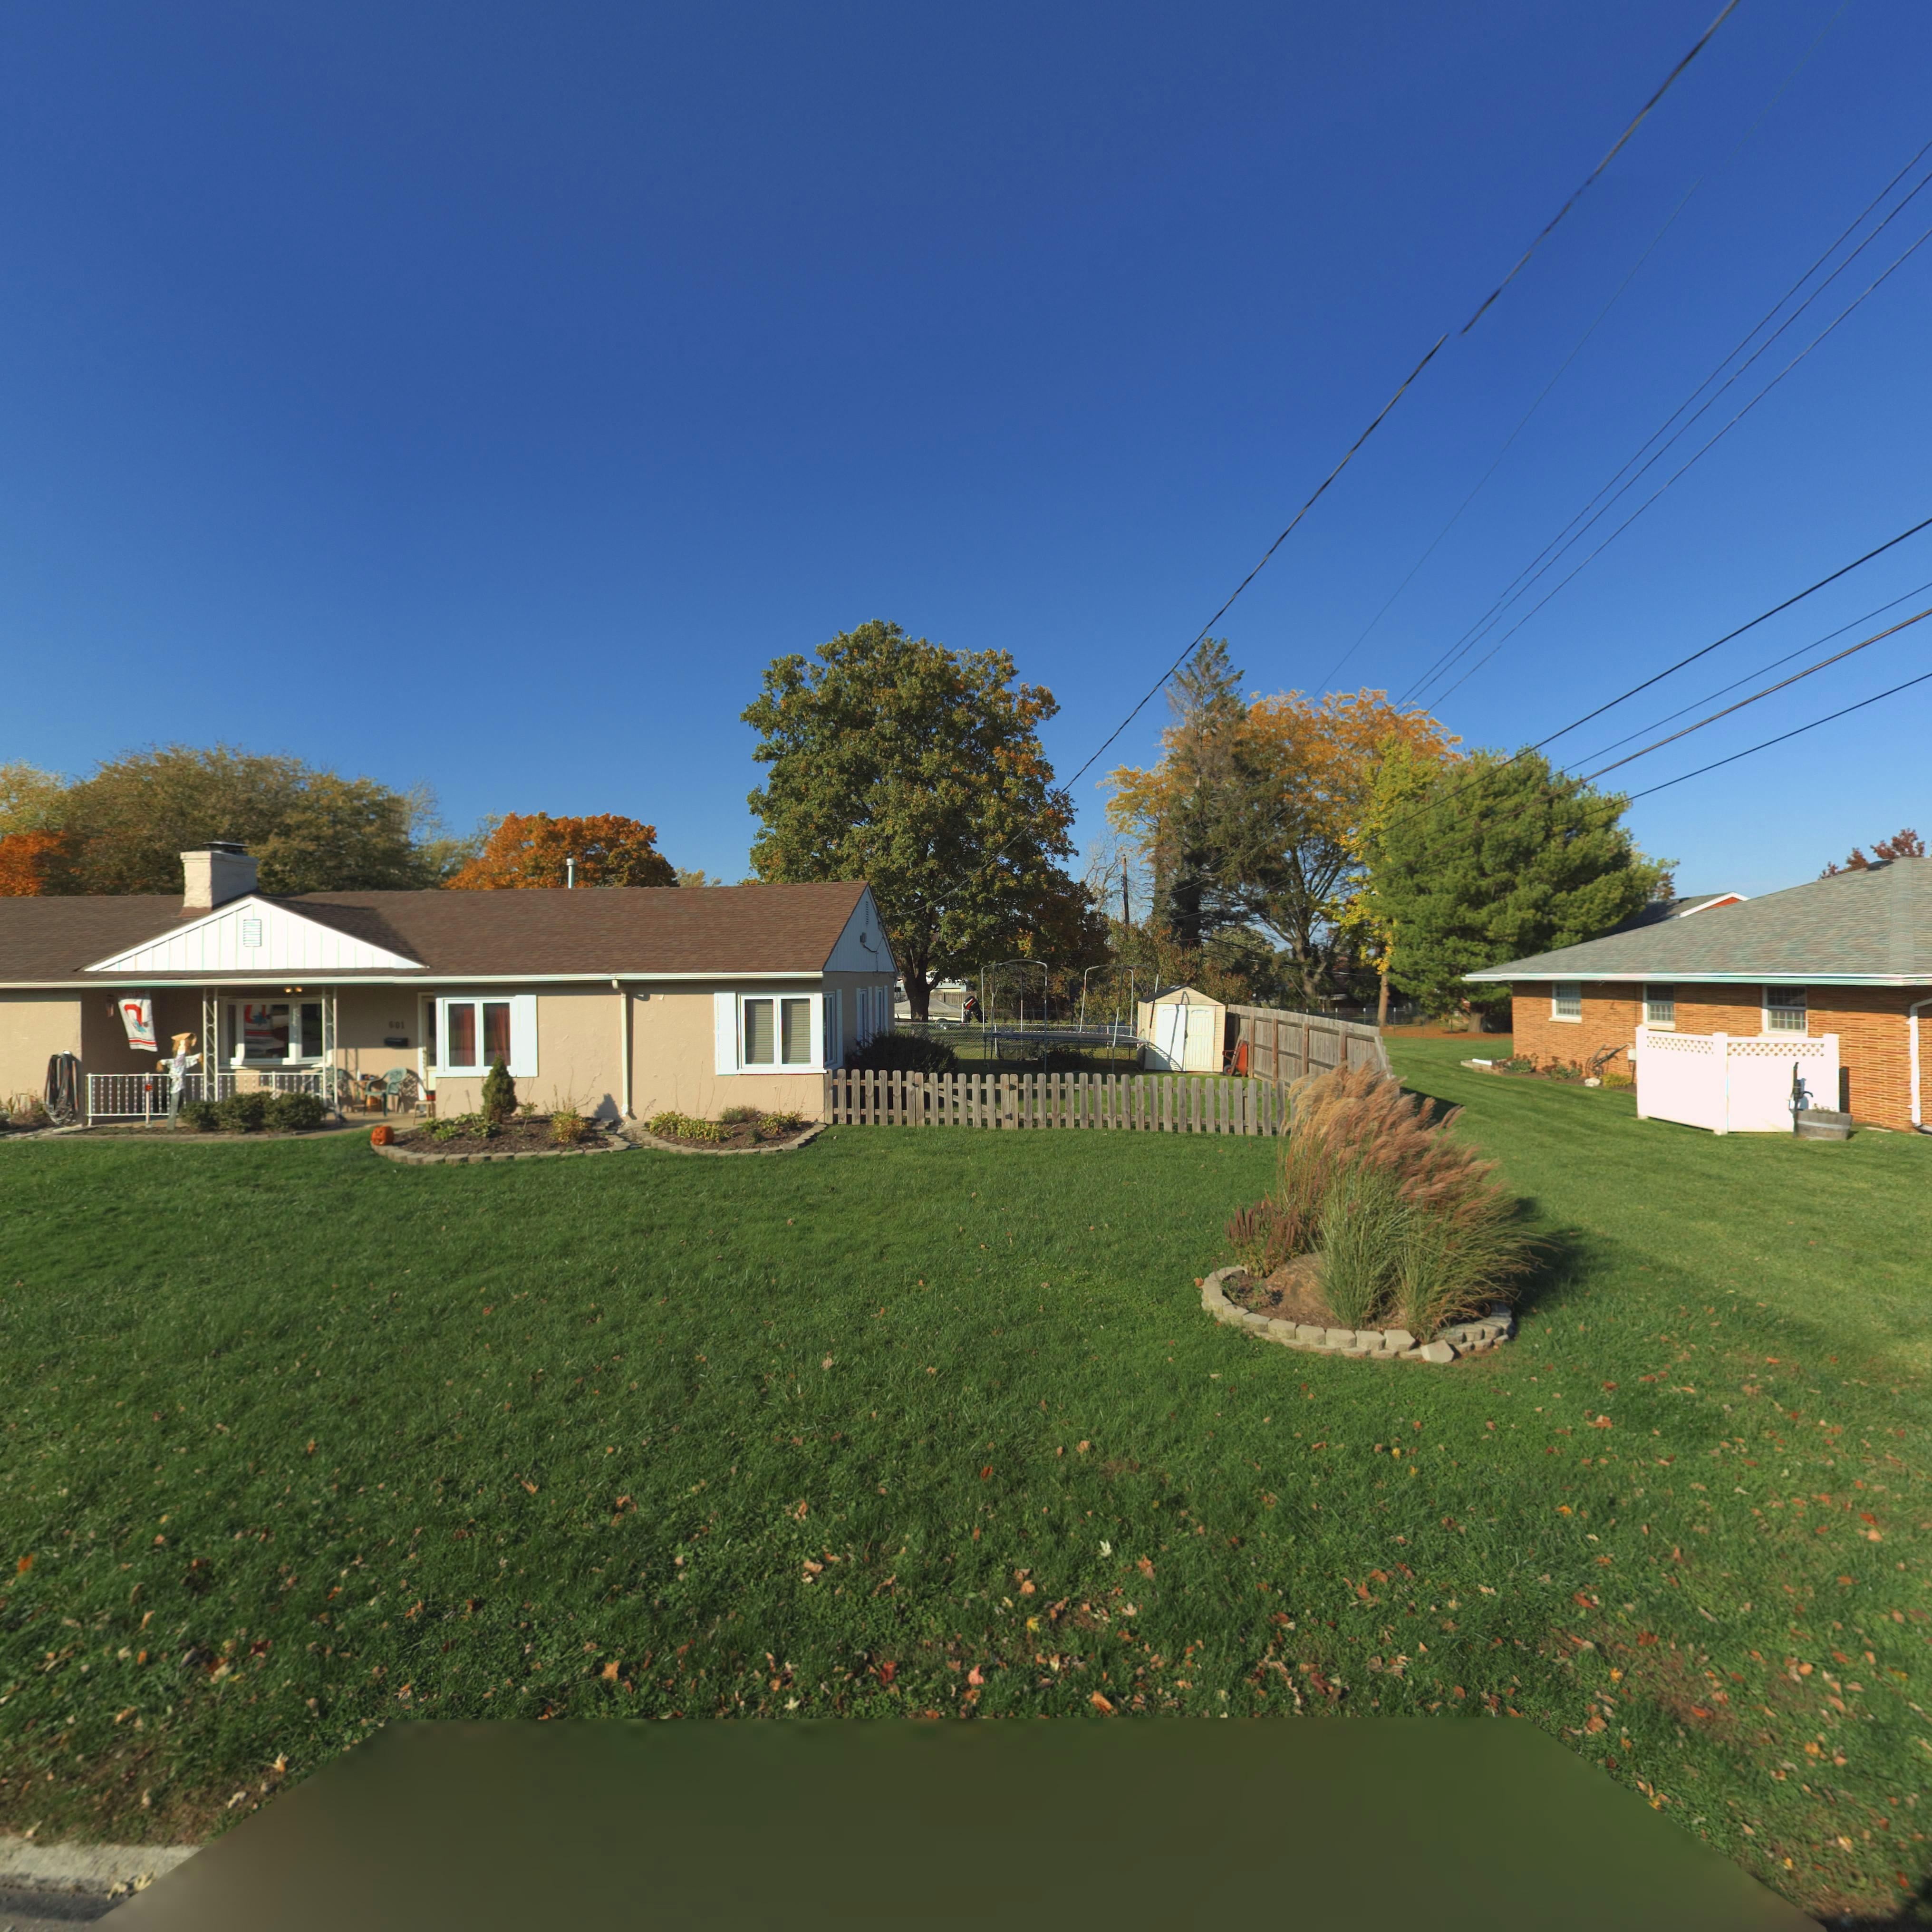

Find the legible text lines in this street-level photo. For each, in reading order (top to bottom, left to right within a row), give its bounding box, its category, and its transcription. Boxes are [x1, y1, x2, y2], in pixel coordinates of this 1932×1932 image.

[388, 1020, 406, 1030] StreetNumber: 601